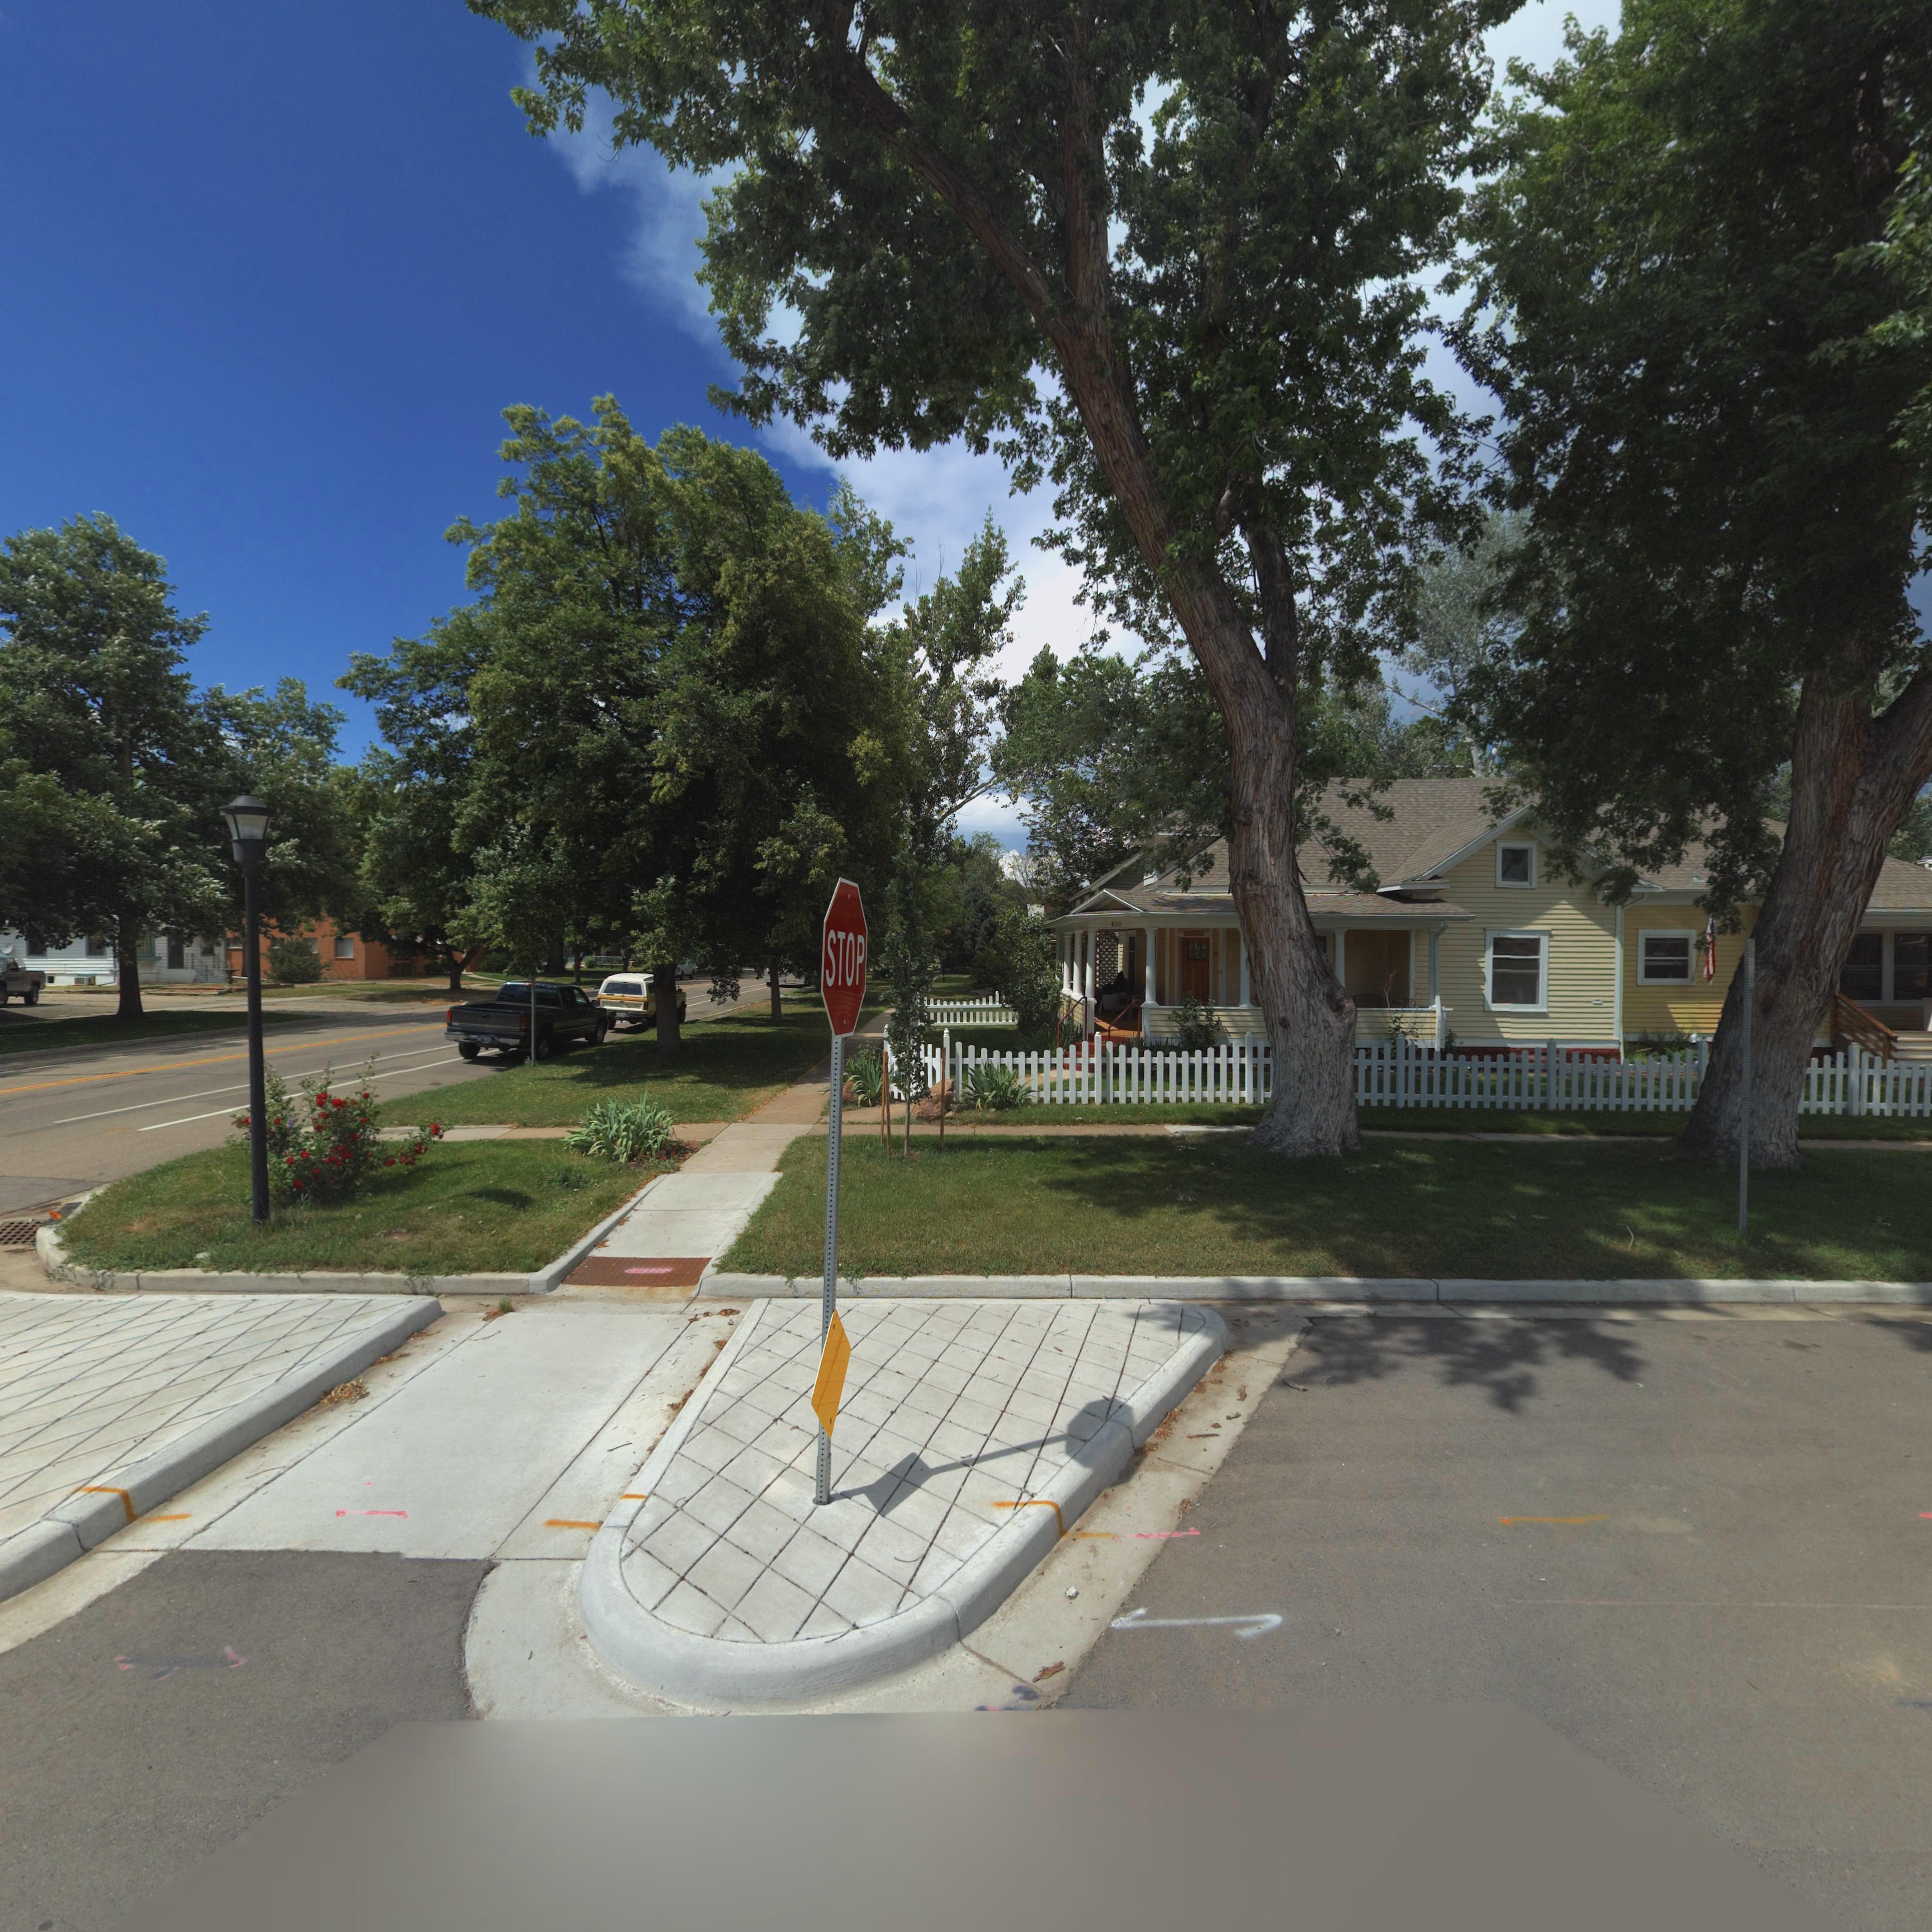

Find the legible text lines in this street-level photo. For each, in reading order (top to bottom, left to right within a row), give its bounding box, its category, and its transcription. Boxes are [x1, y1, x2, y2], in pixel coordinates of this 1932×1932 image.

[1111, 921, 1122, 927] StreetNumber: 600